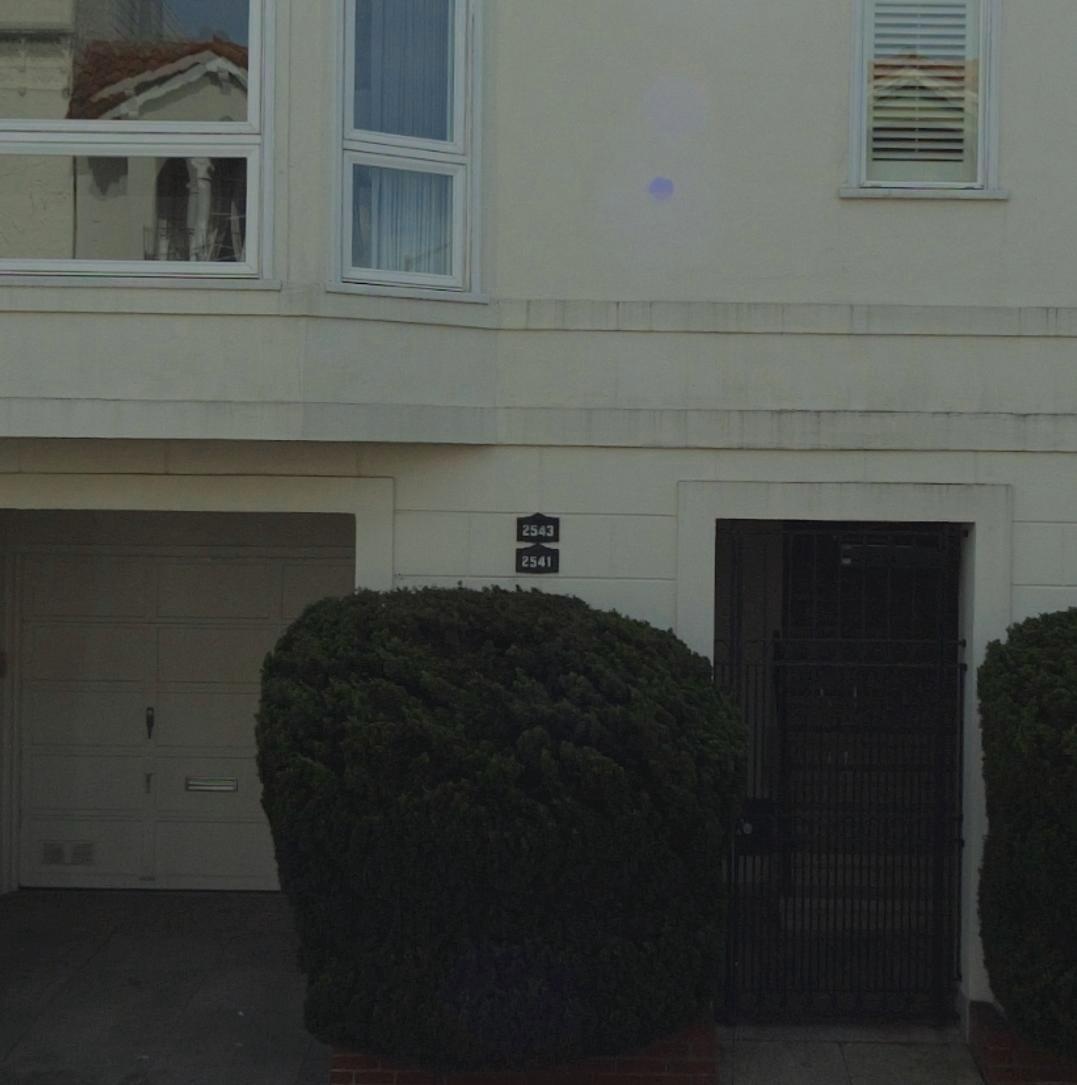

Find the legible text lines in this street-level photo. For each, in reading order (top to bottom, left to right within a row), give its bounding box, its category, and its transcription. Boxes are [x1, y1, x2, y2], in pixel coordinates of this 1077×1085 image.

[520, 522, 556, 540] StreetNumber: 2543
[519, 553, 554, 570] StreetNumber: 2541